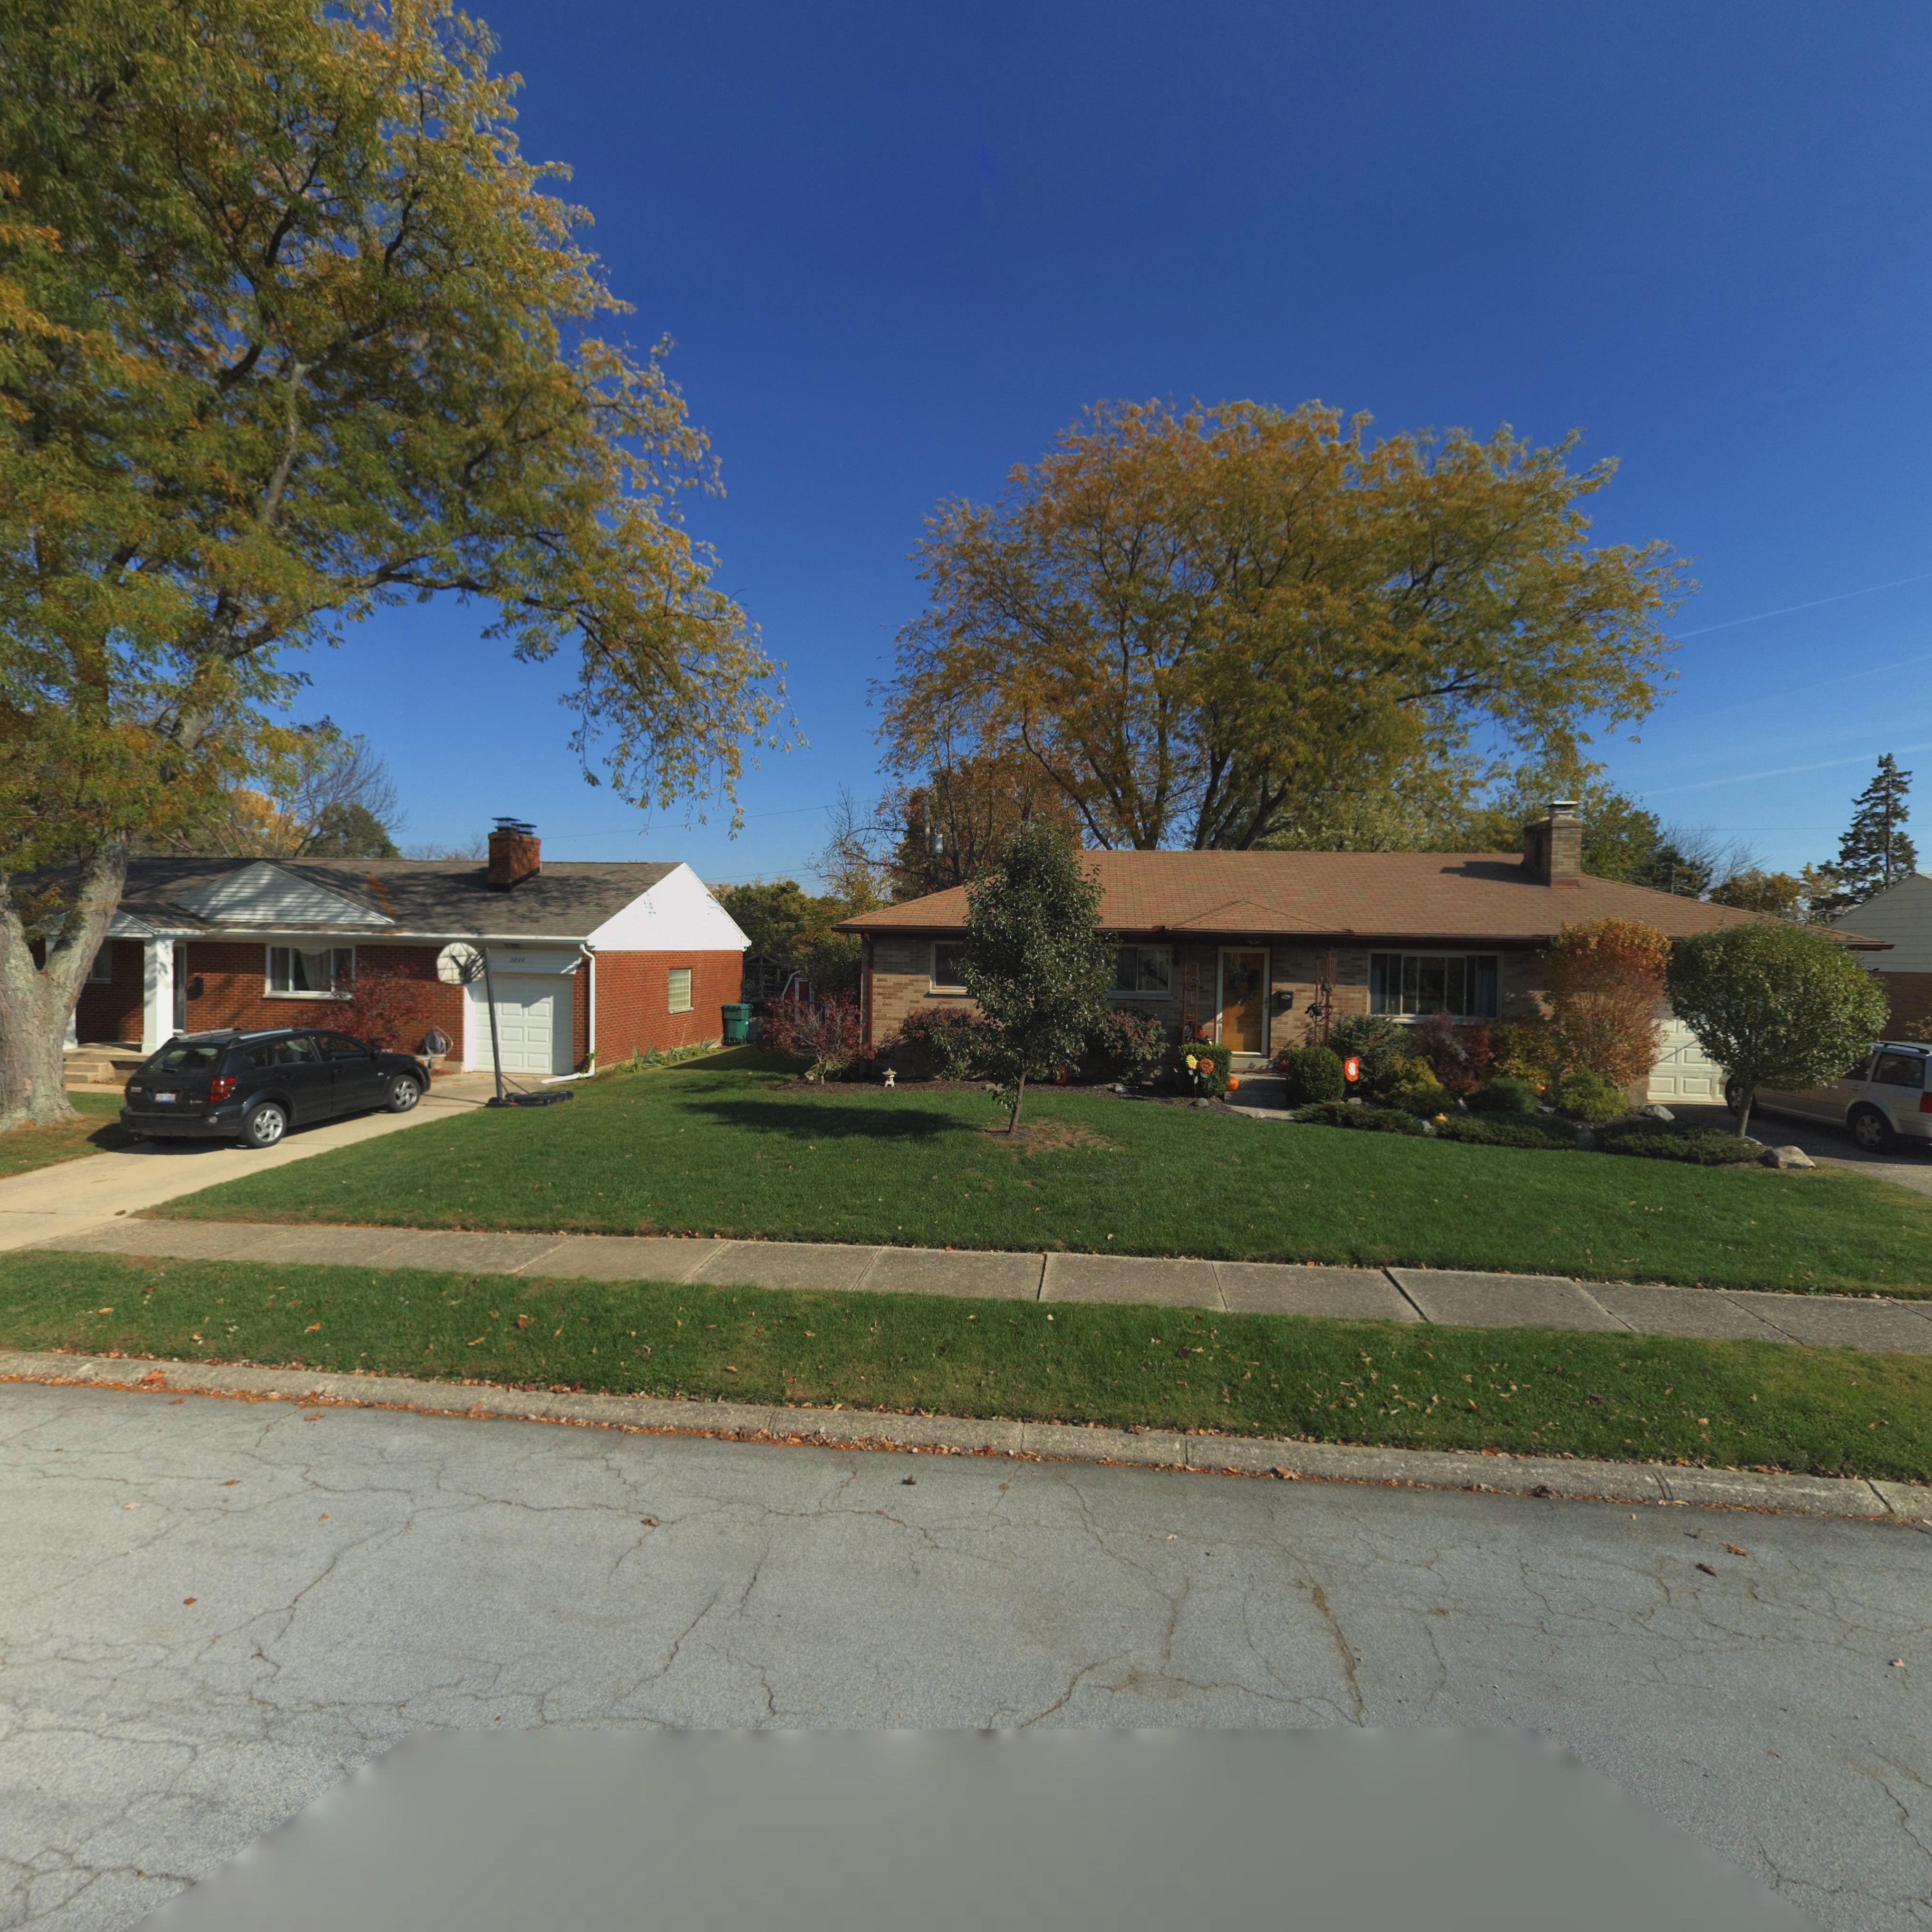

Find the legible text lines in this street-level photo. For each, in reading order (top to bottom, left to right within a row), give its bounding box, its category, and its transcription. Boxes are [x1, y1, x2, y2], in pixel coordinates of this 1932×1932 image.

[510, 956, 525, 964] StreetNumber: 3844